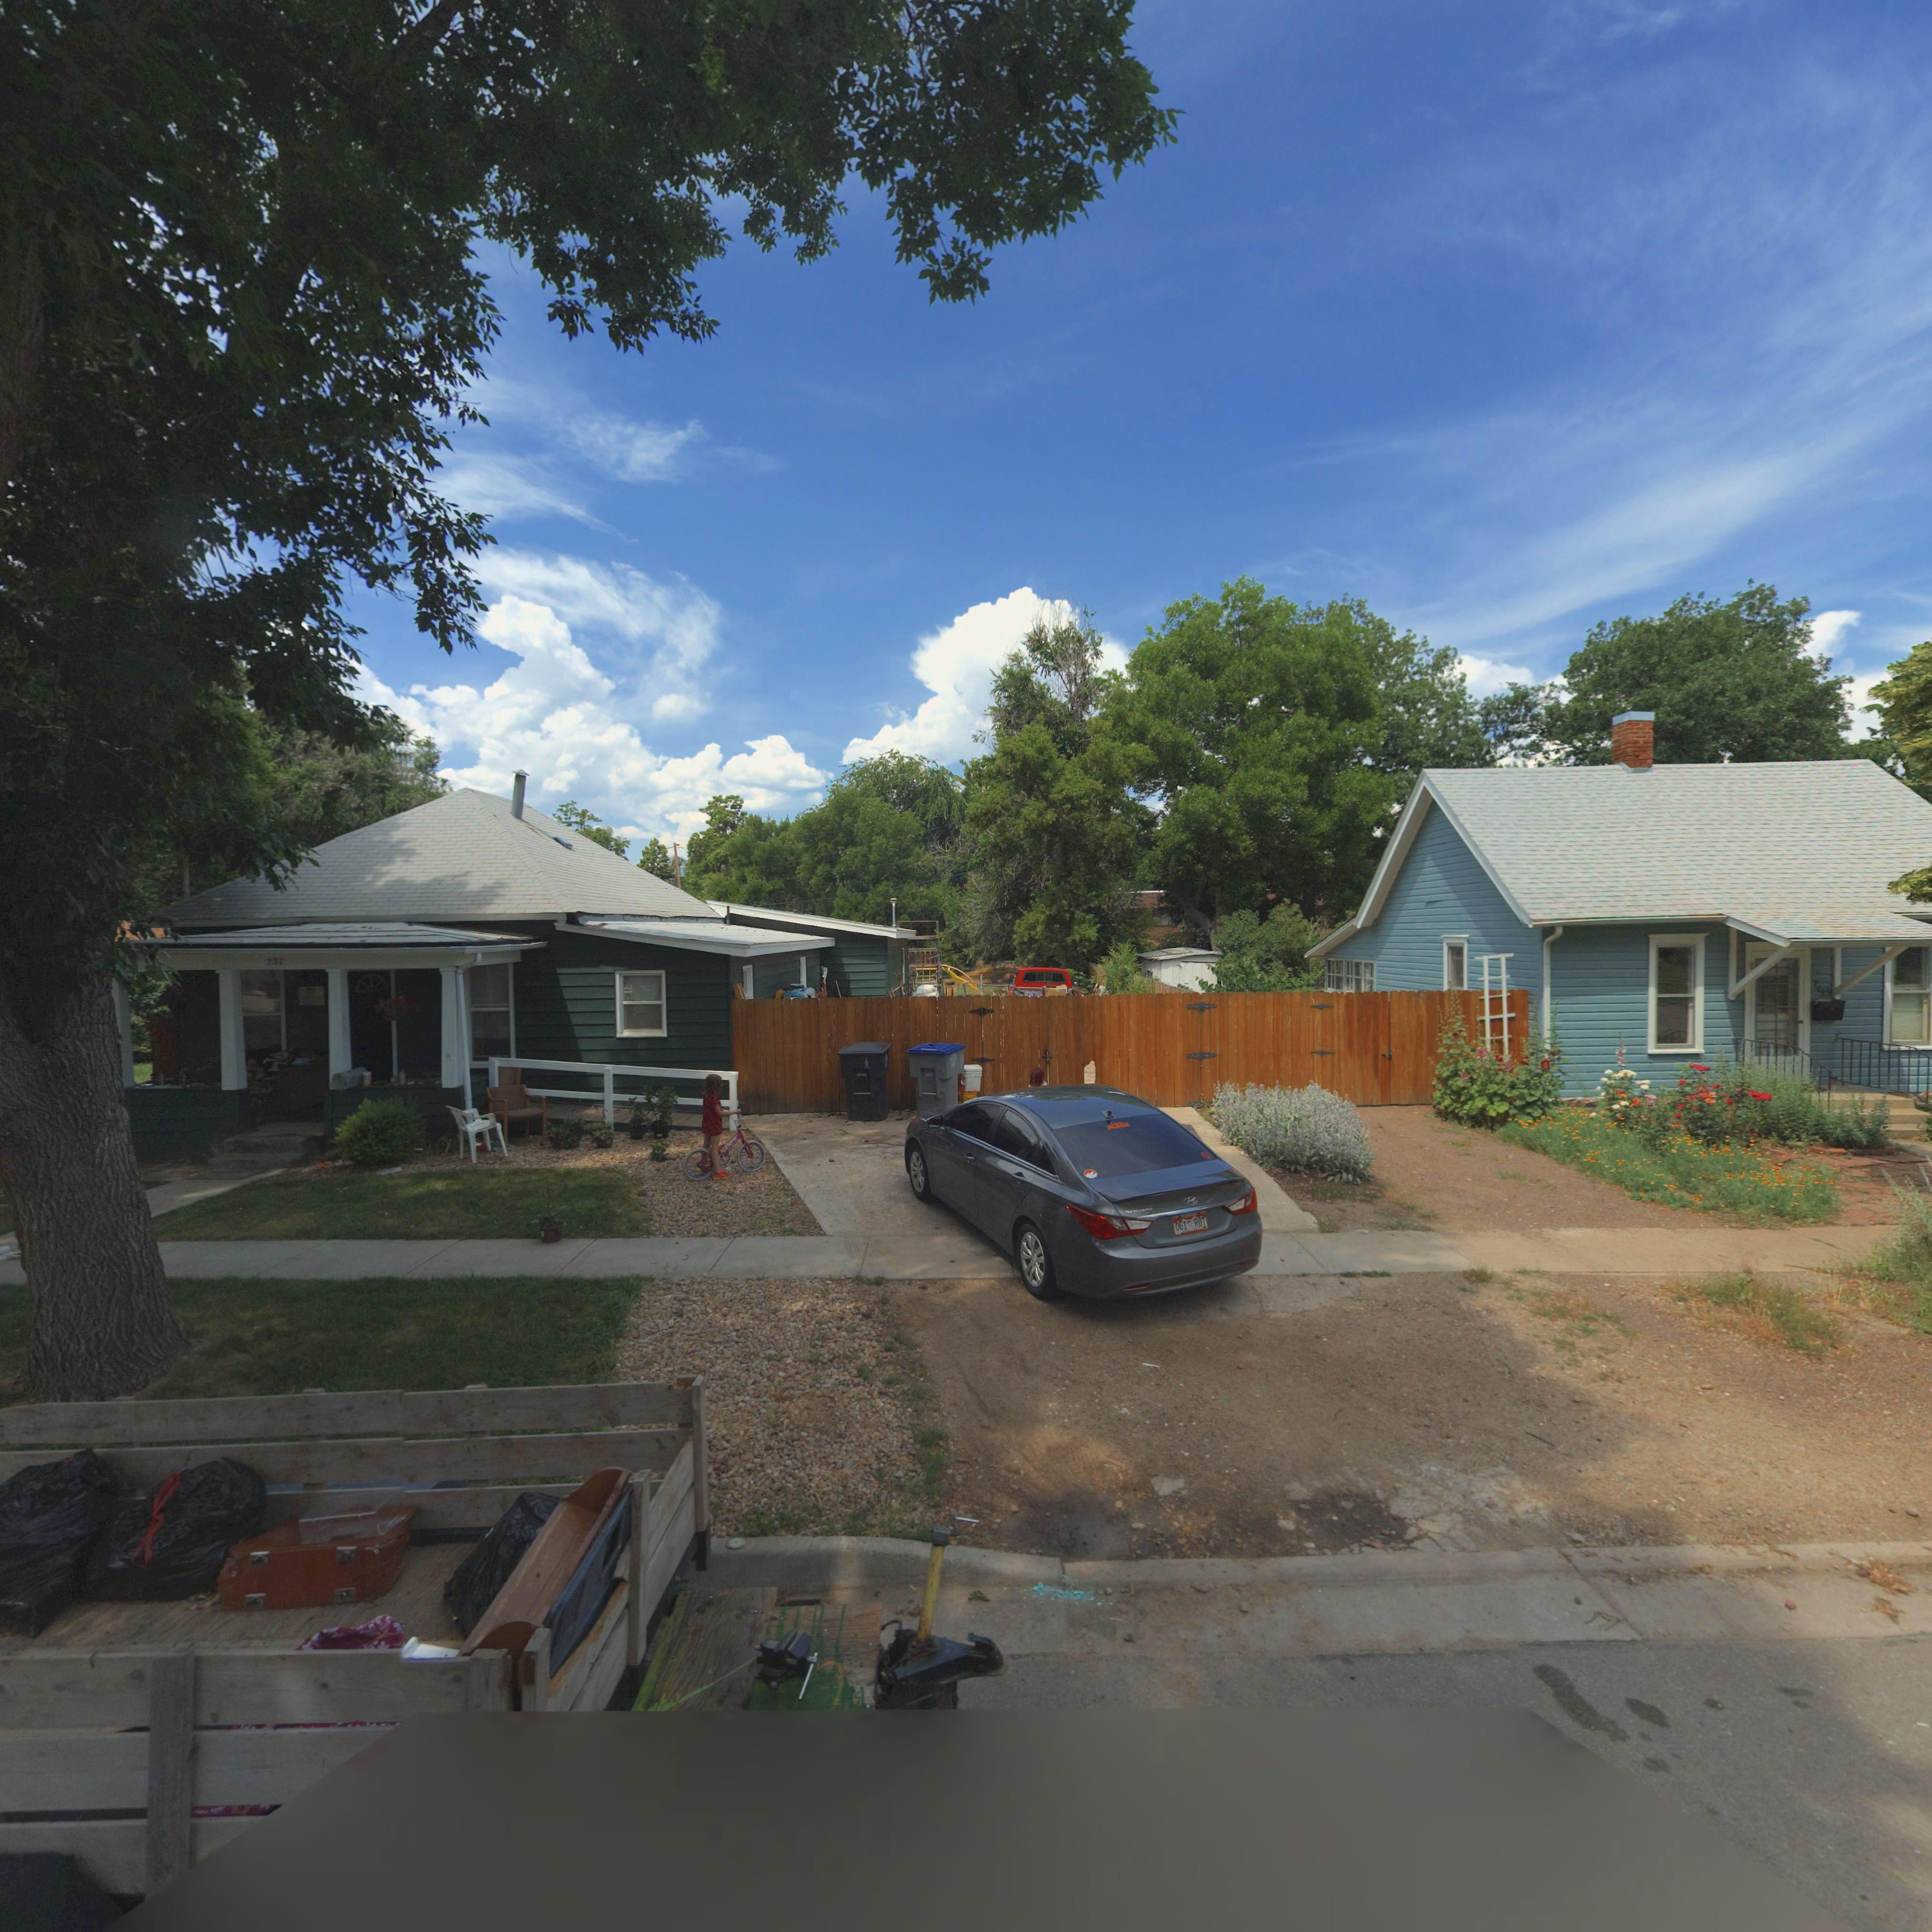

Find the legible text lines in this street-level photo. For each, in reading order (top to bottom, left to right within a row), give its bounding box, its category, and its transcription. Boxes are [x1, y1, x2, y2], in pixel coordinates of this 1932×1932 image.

[266, 957, 285, 966] StreetNumber: 737
[1811, 978, 1826, 997] StreetNumber: 741